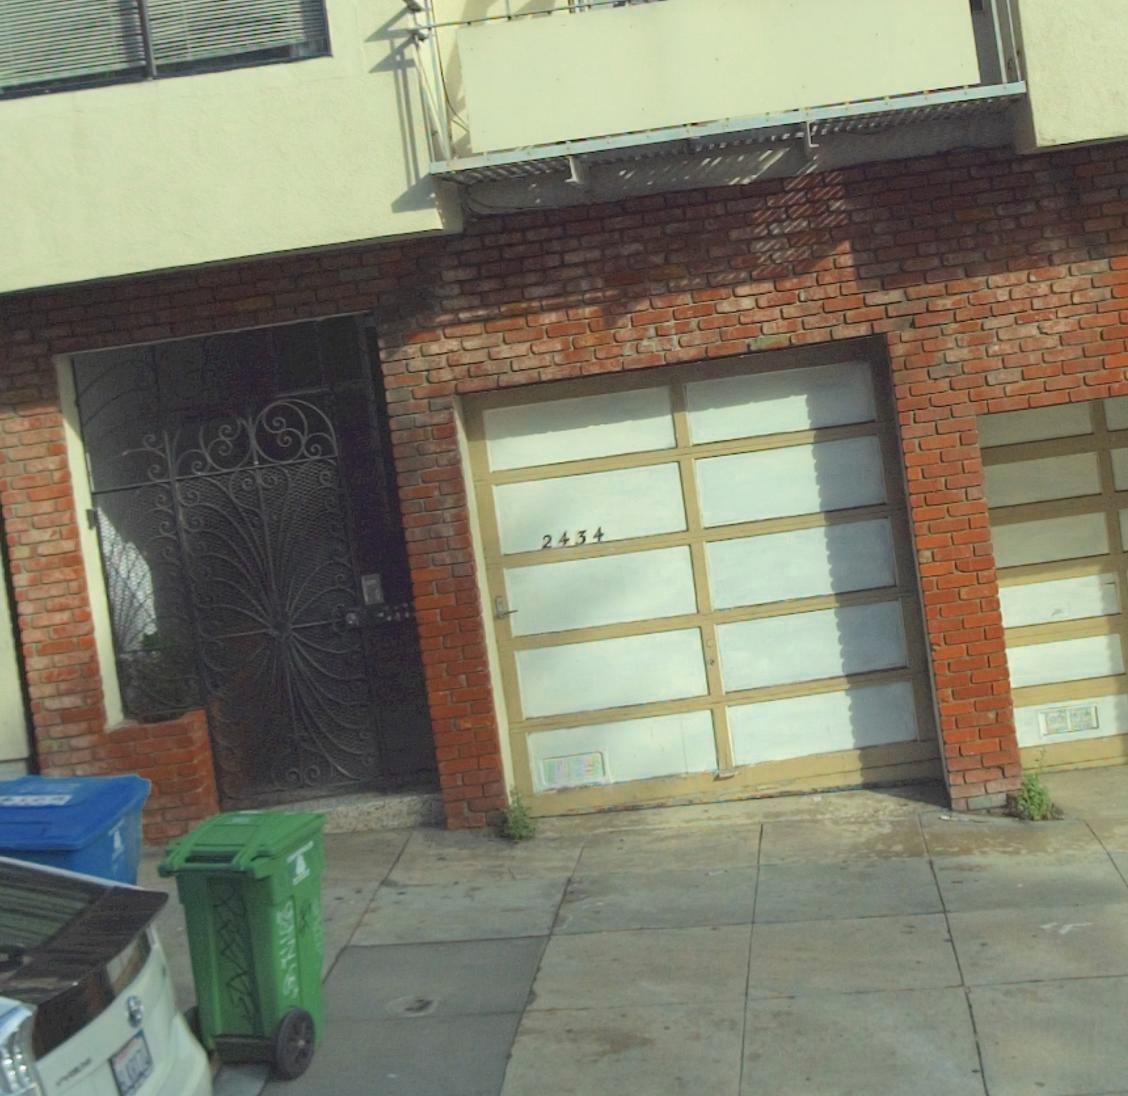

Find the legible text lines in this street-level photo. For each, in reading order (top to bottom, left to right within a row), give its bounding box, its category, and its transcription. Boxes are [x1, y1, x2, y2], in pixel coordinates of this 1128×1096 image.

[538, 521, 607, 554] StreetNumber: 2434